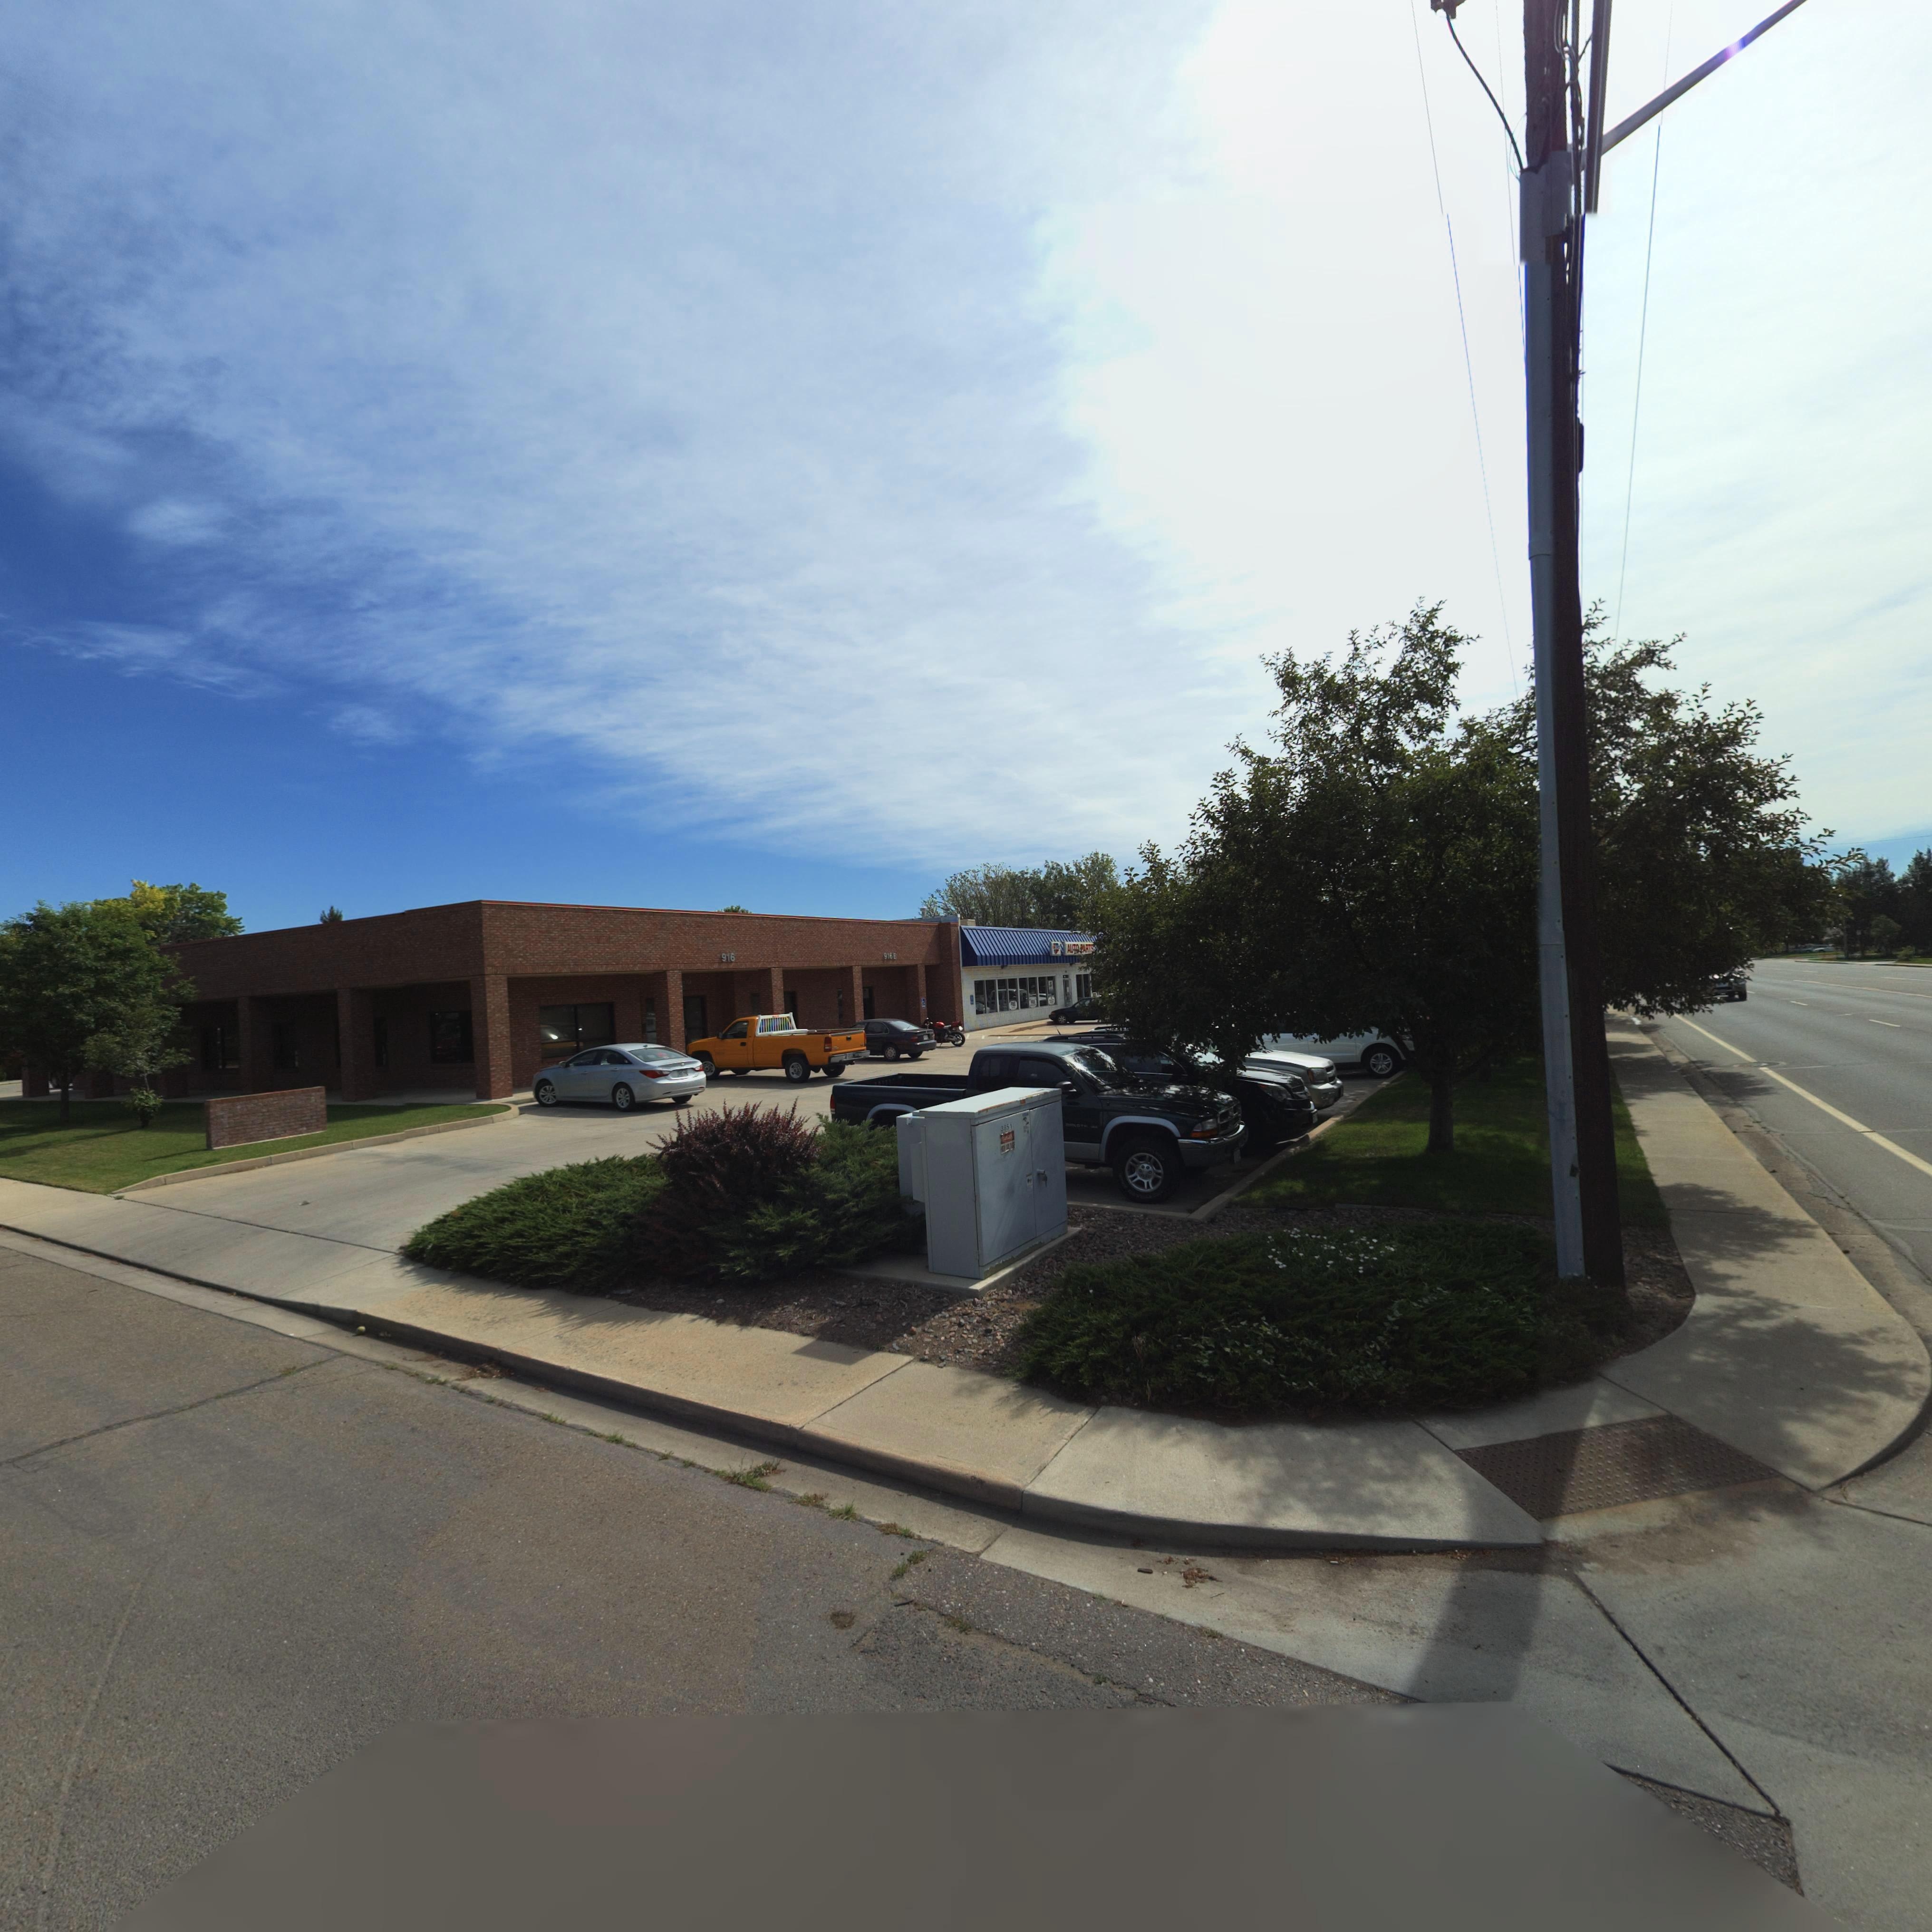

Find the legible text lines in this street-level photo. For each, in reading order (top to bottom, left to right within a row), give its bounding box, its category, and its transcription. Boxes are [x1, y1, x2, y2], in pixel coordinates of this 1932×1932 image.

[1067, 943, 1094, 953] BusinessName: AU** **RTS
[721, 953, 734, 961] StreetNumber: 916
[884, 952, 896, 959] StreetNumber: 918B